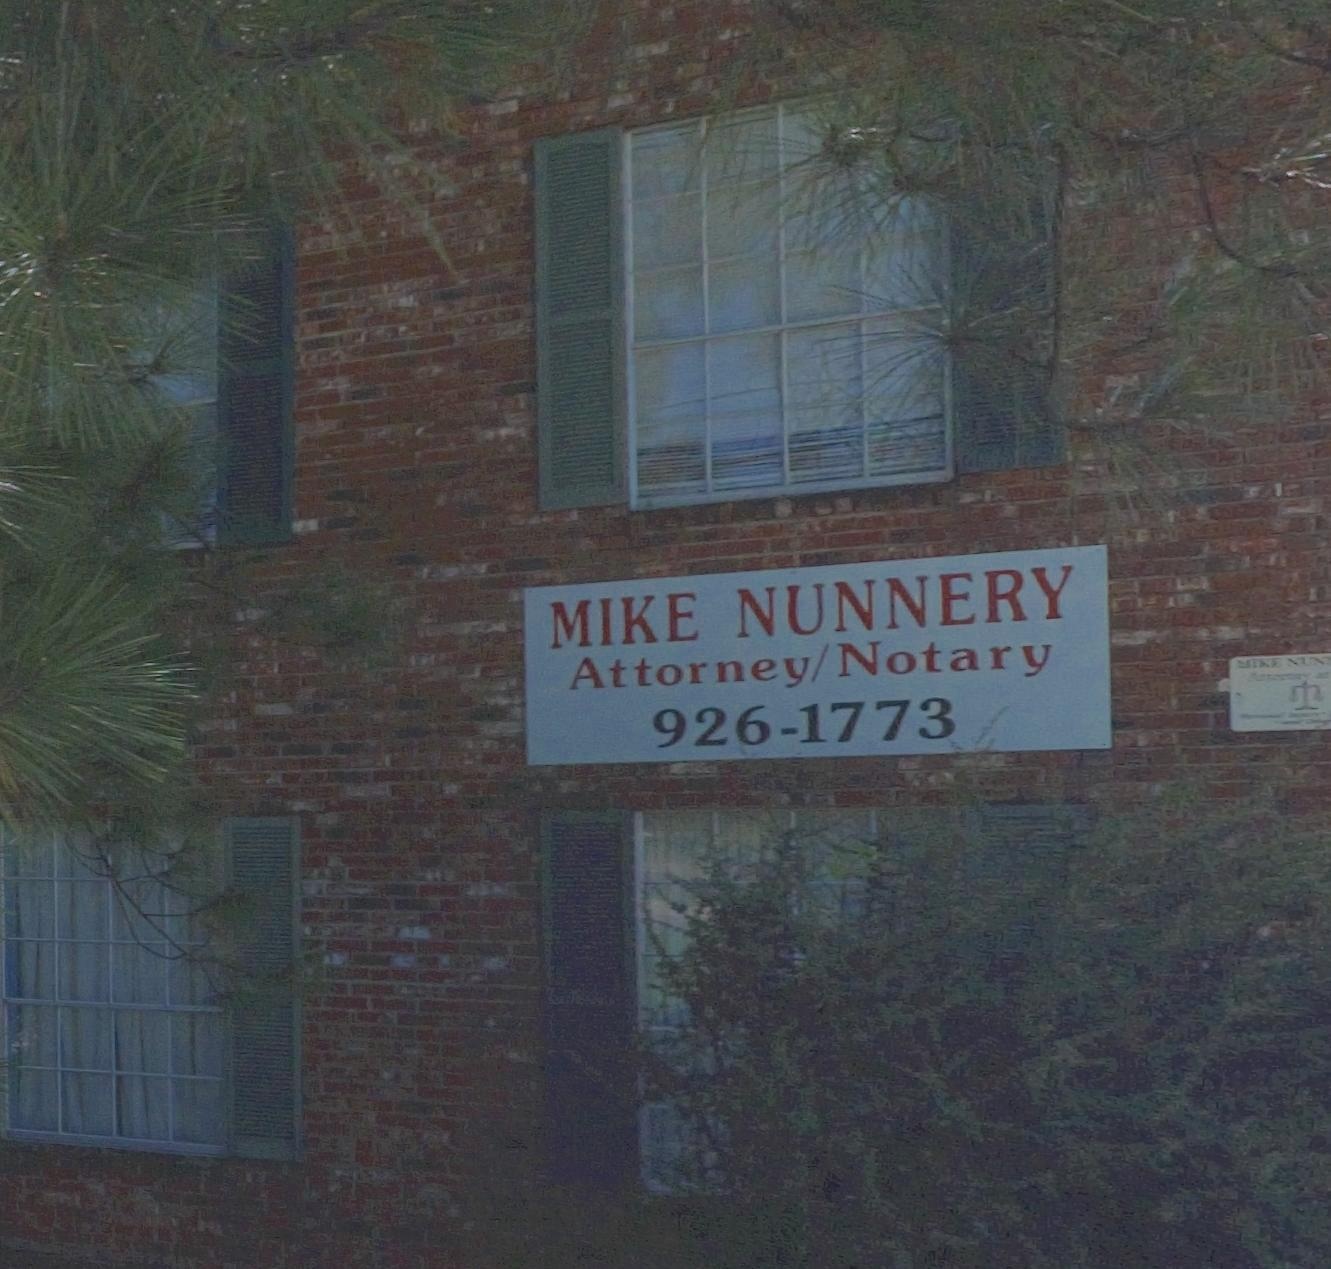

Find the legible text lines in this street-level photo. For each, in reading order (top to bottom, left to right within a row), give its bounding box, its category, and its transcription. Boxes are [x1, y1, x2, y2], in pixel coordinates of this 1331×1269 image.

[546, 559, 1080, 654] BusinessName: MIKE NUNNERY
[560, 635, 1058, 695] BusinessName: Attorney/Notary
[1234, 653, 1329, 672] BusinessName: MIKE NUN
[649, 692, 962, 753] None: 926-1773